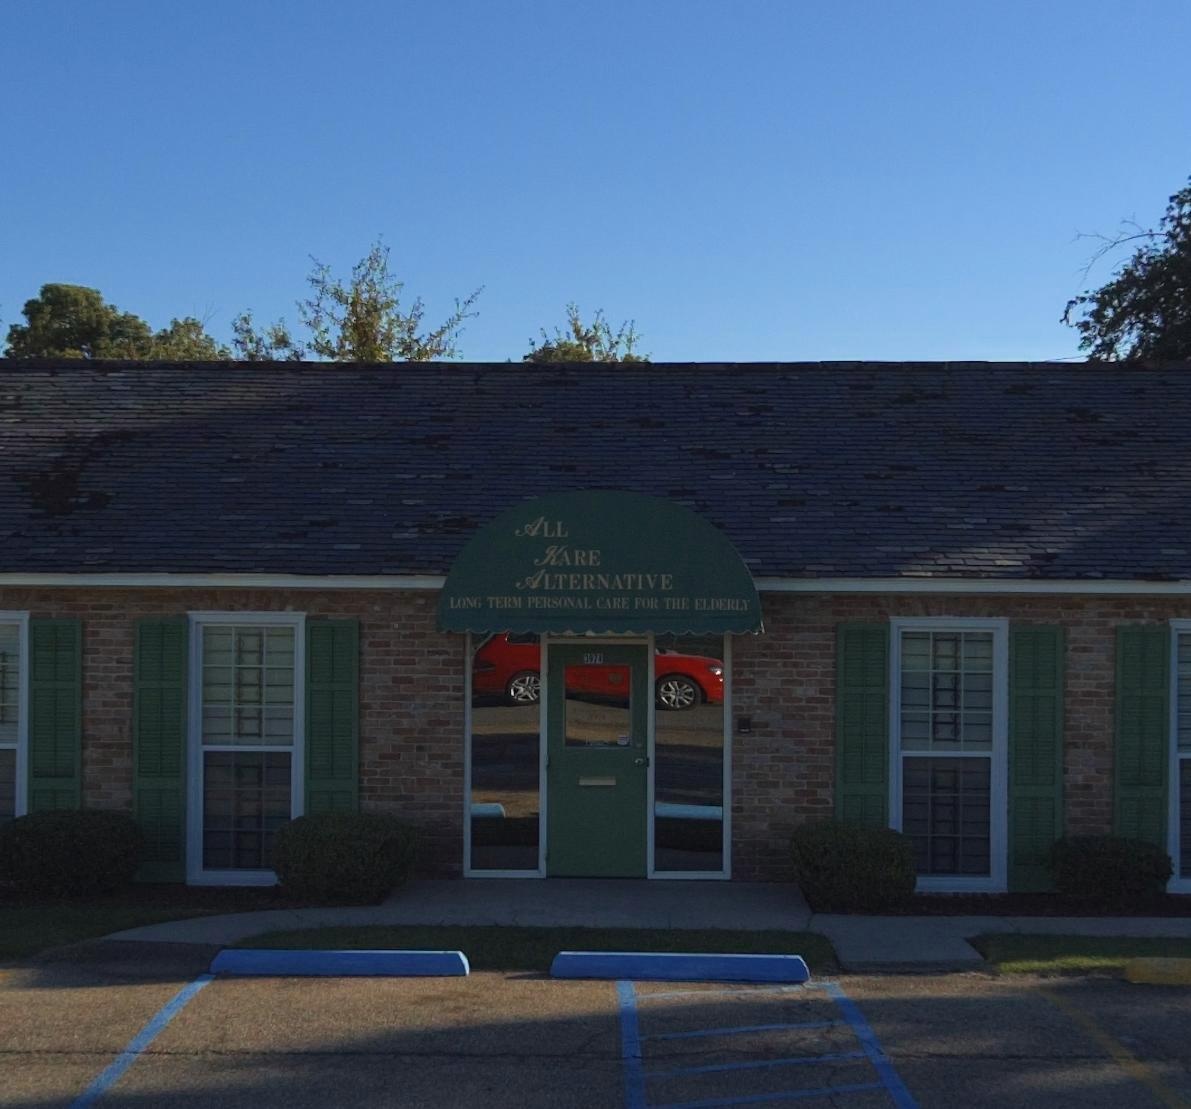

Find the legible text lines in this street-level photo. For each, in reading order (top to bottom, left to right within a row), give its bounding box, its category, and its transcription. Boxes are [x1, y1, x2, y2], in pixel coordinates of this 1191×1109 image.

[513, 513, 571, 540] BusinessName: ALL
[532, 544, 602, 568] BusinessName: KARE
[512, 567, 674, 592] BusinessName: ALTERNATIVE
[448, 595, 752, 612] None: LONG TERM PERSONAL CARE FOR THE ELDERLY
[583, 653, 604, 664] None: 3974